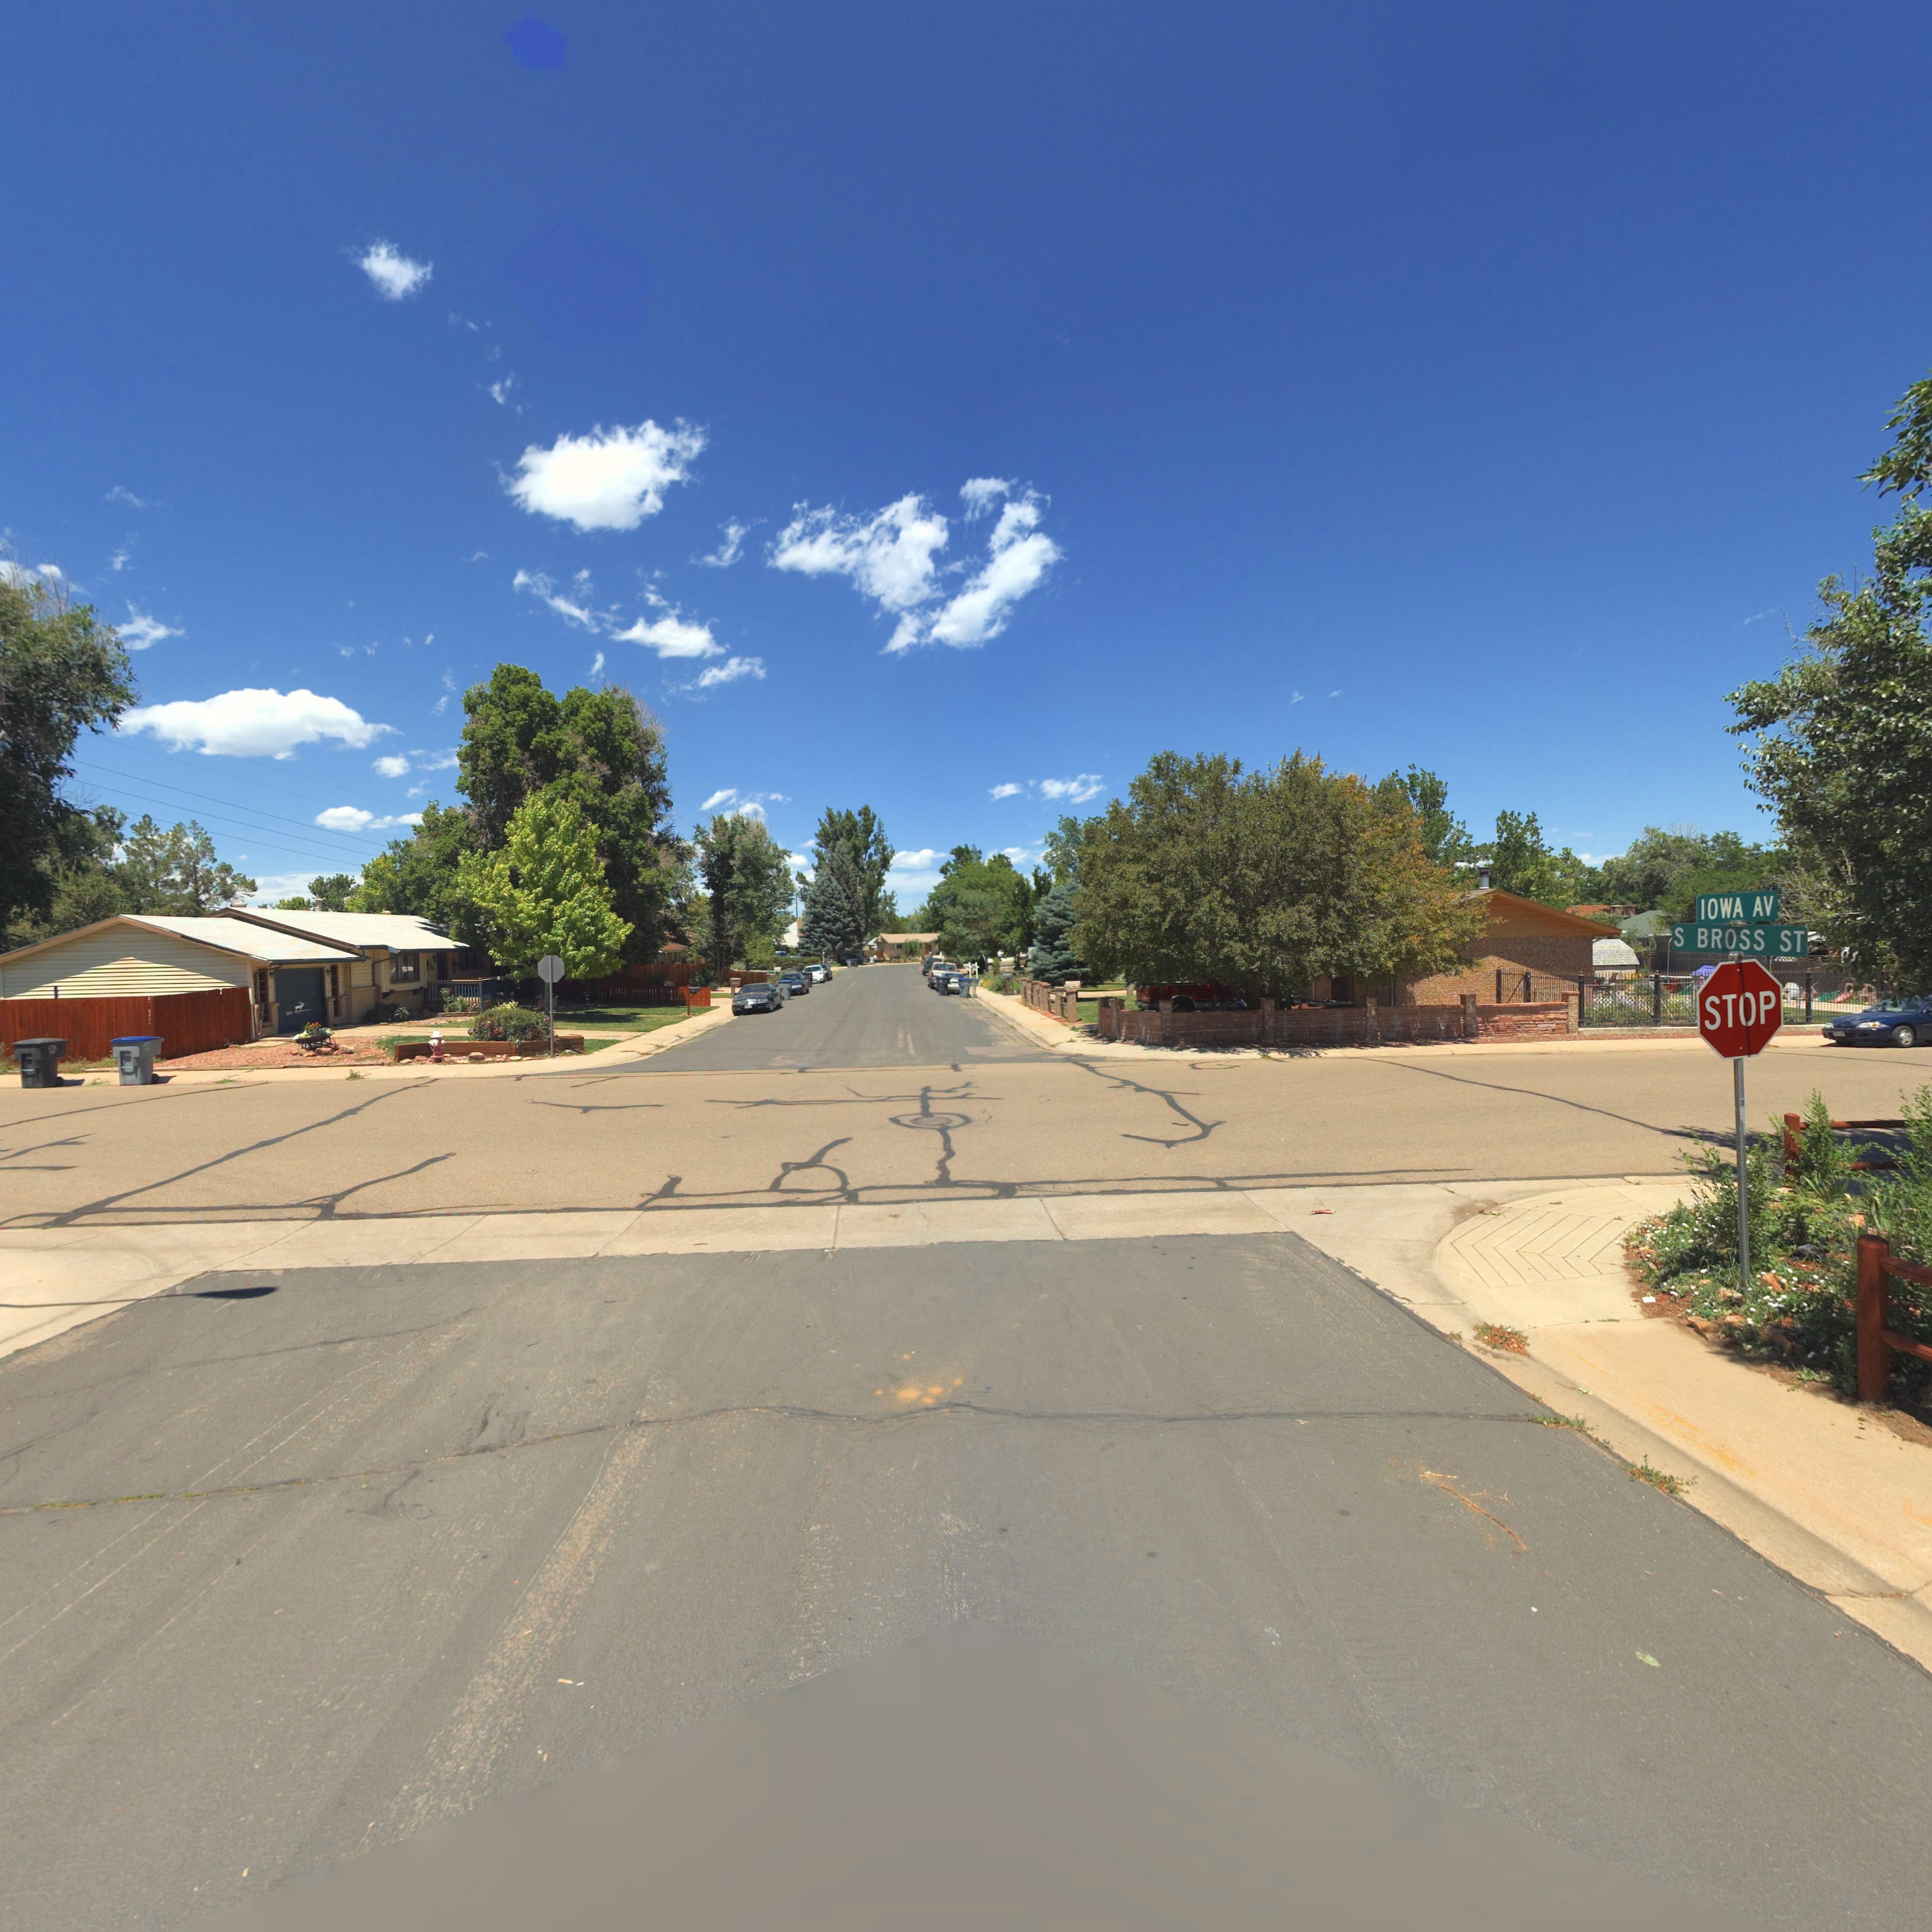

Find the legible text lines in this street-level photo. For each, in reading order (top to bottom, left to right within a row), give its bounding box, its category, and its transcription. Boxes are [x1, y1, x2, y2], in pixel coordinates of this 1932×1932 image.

[1700, 894, 1775, 921] StreetName: IOWA ST
[1673, 927, 1805, 953] StreetName: S BROSS ST